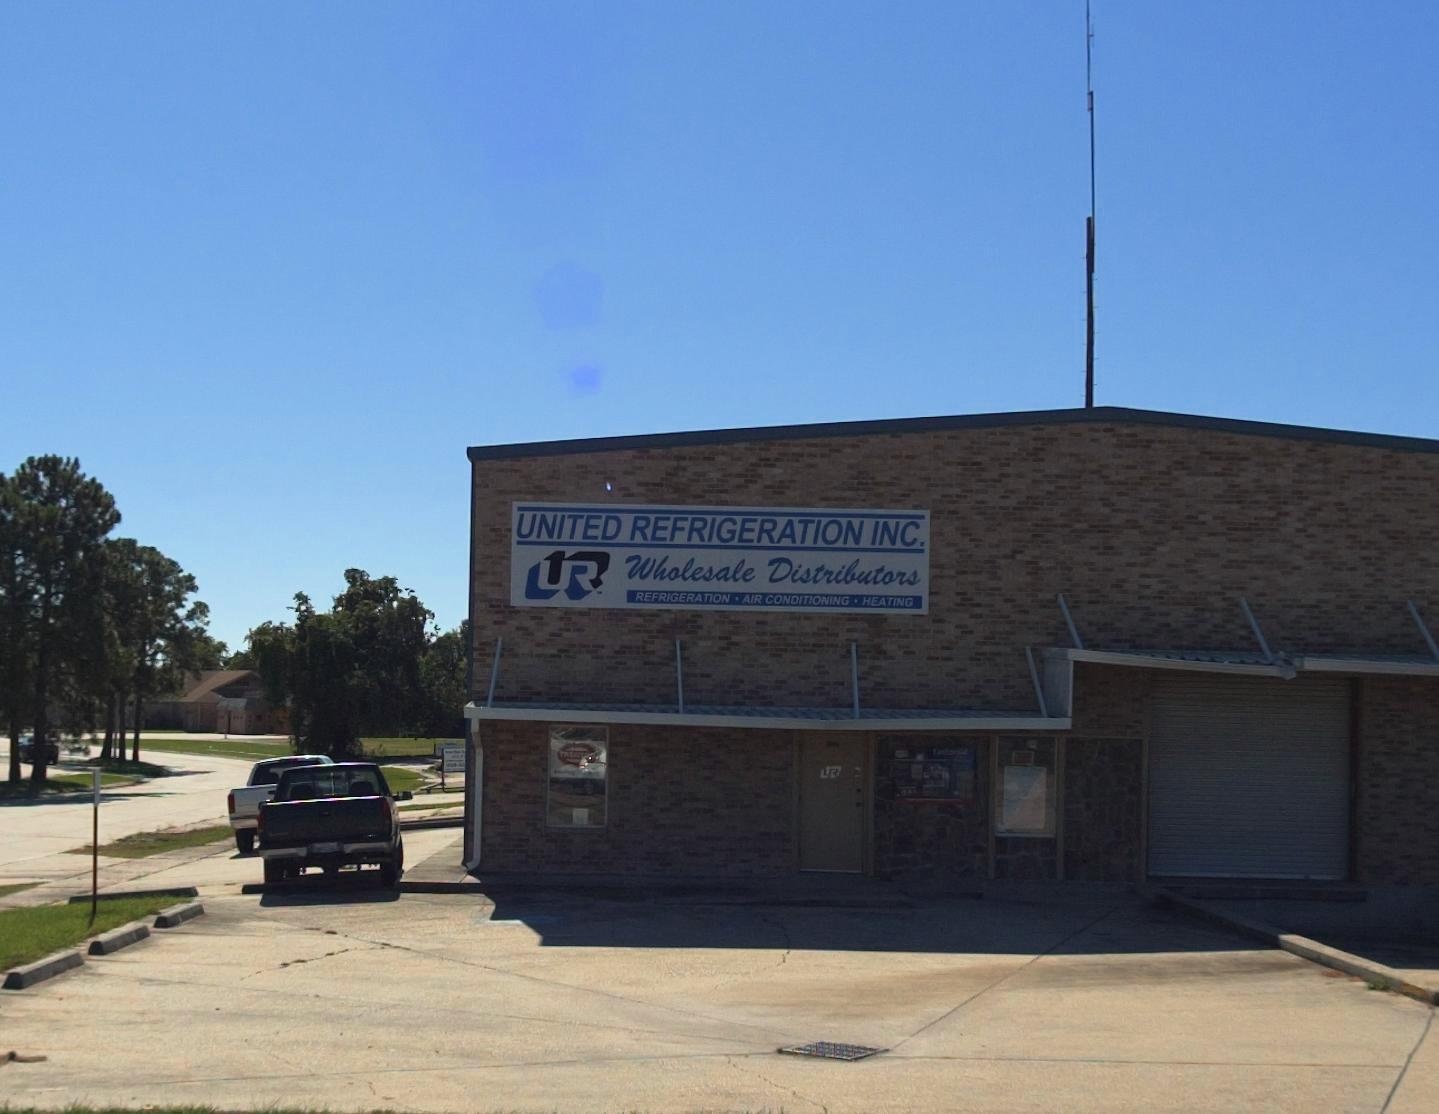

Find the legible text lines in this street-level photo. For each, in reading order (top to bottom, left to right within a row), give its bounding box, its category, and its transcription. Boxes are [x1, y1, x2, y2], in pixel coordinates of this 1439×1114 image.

[512, 509, 927, 550] BusinessName: UNITED REFRIGERATION INC.
[621, 550, 926, 588] None: Wholesale Distributors
[631, 589, 917, 609] None: REFRIGERATION * AIR CONDITIONING * HEATING